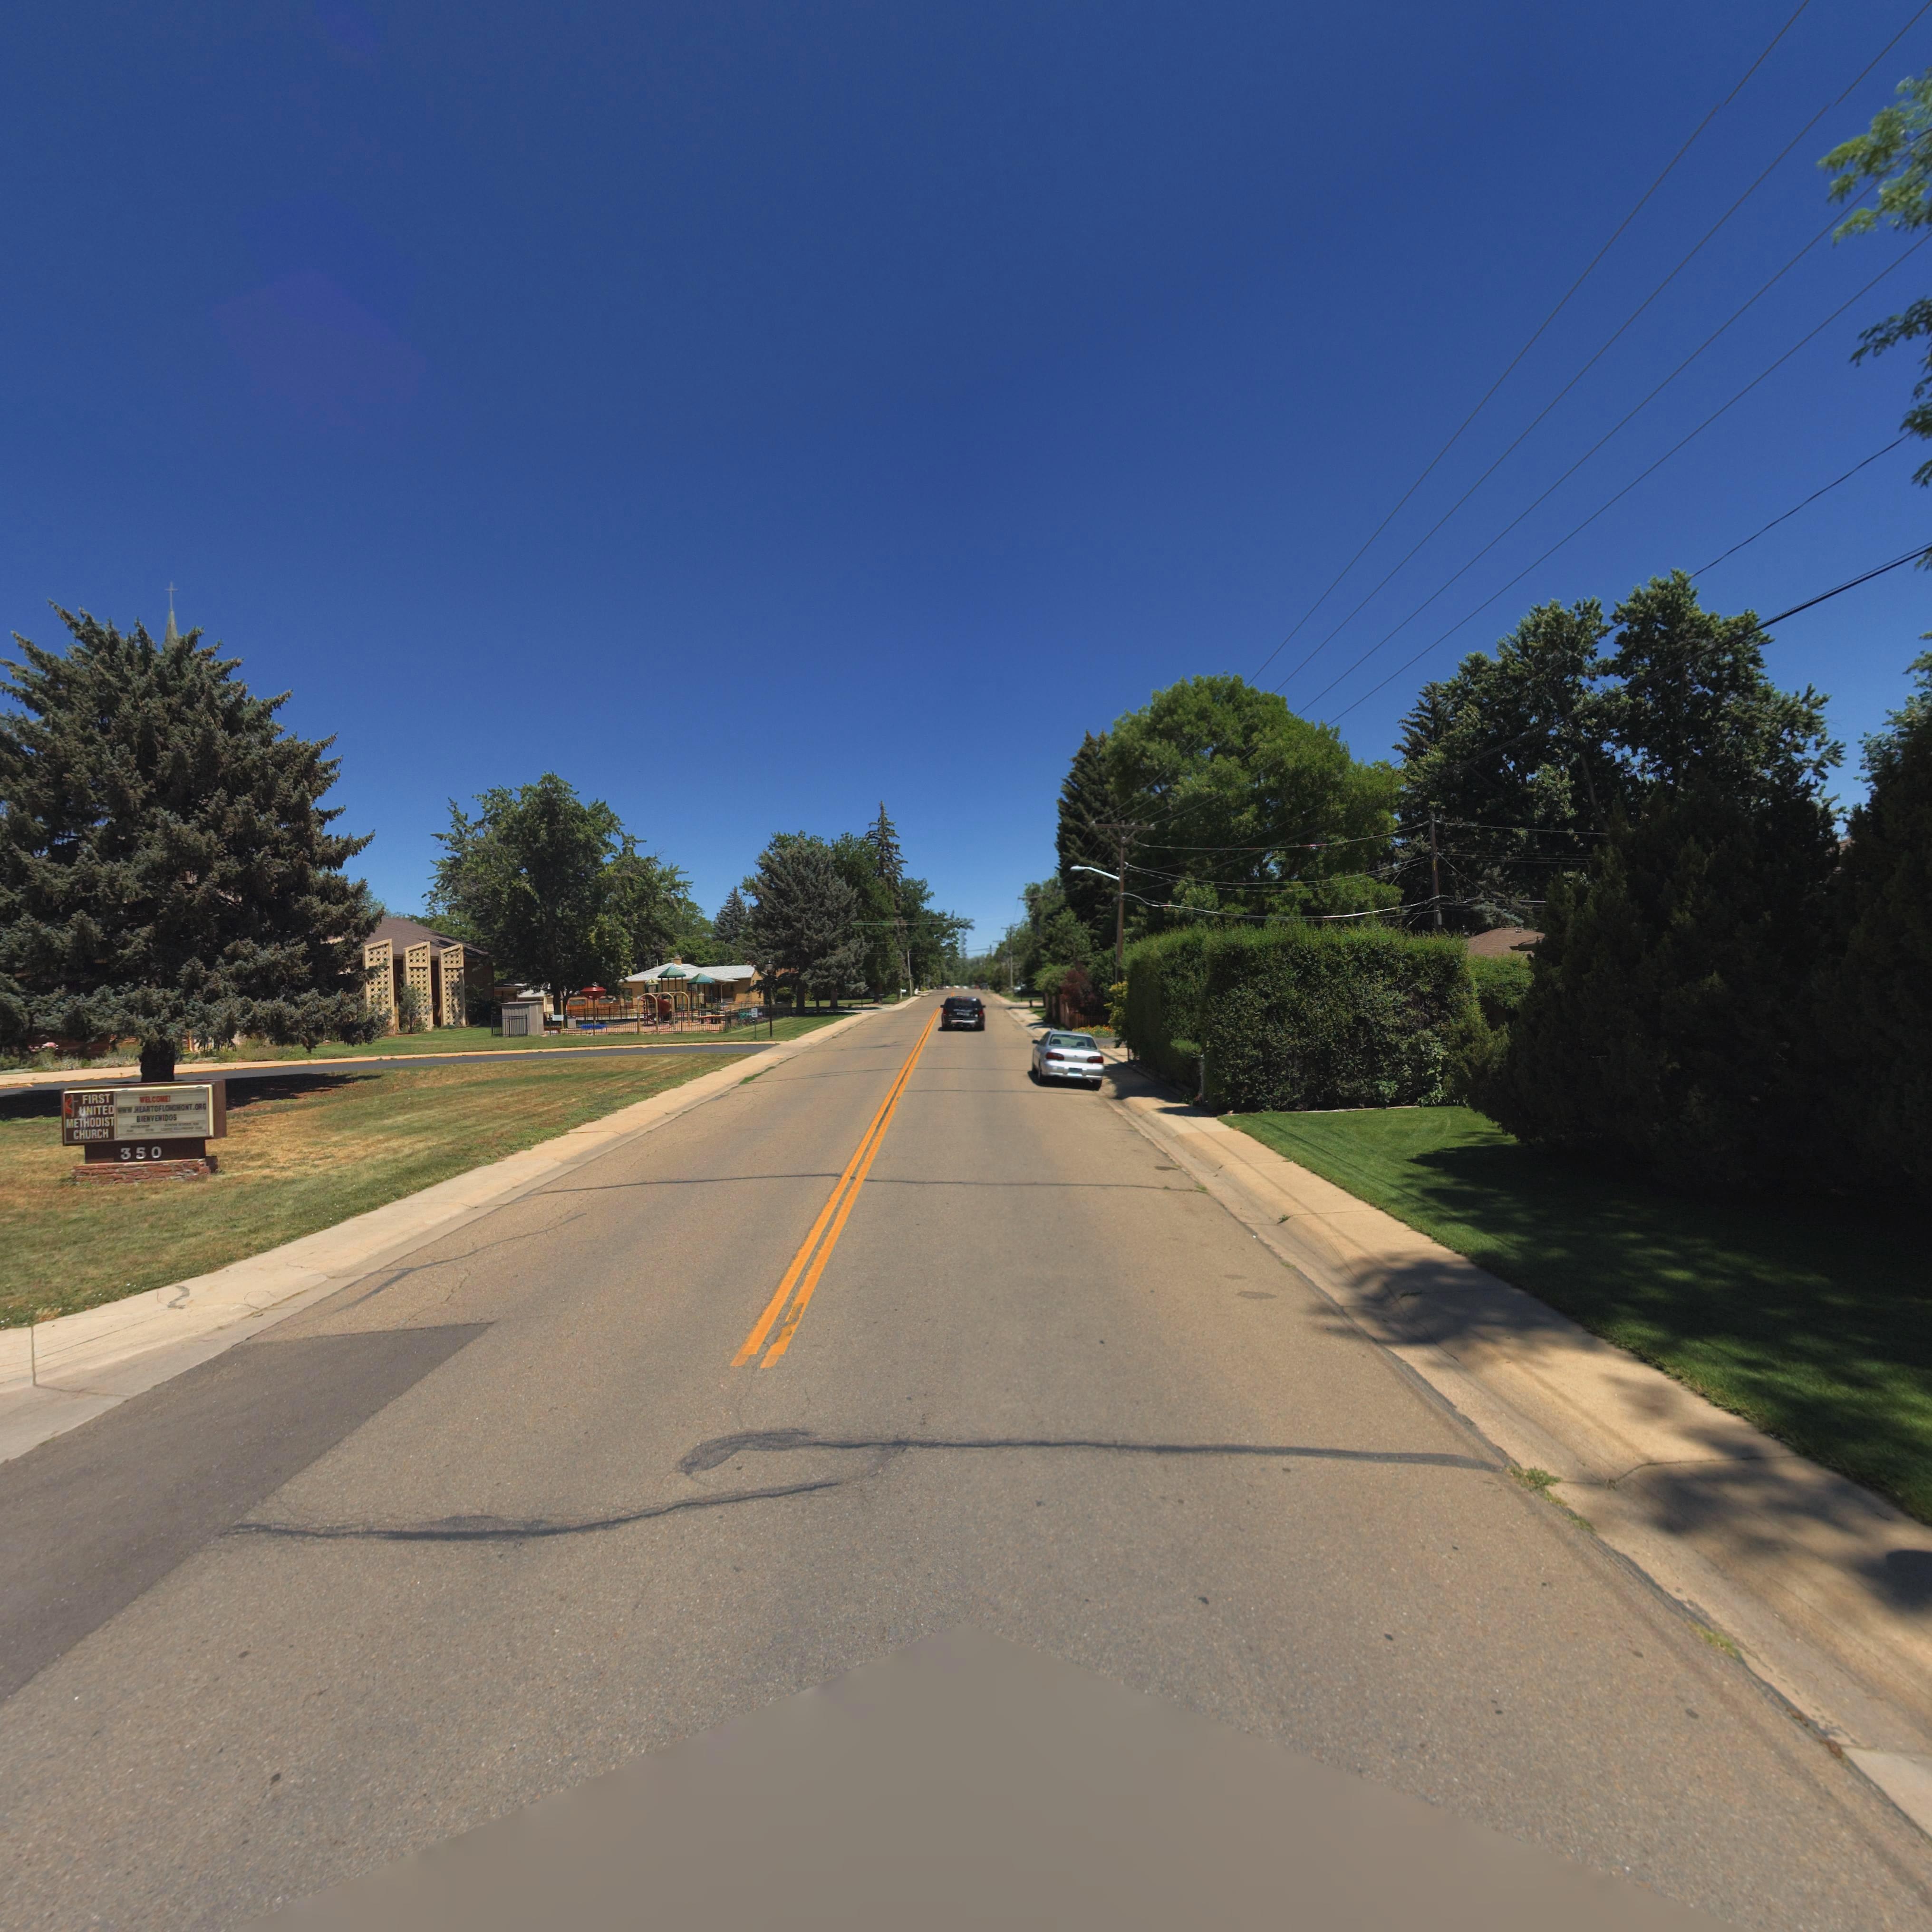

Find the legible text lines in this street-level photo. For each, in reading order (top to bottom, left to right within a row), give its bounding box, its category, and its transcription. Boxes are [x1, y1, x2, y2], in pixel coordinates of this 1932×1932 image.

[82, 1093, 110, 1104] BusinessName: FIRST
[79, 1105, 114, 1115] BusinessName: UNITED
[66, 1117, 114, 1128] BusinessName: METHODIST
[72, 1128, 108, 1140] BusinessName: CHURCH
[119, 1145, 163, 1160] StreetNumber: 350